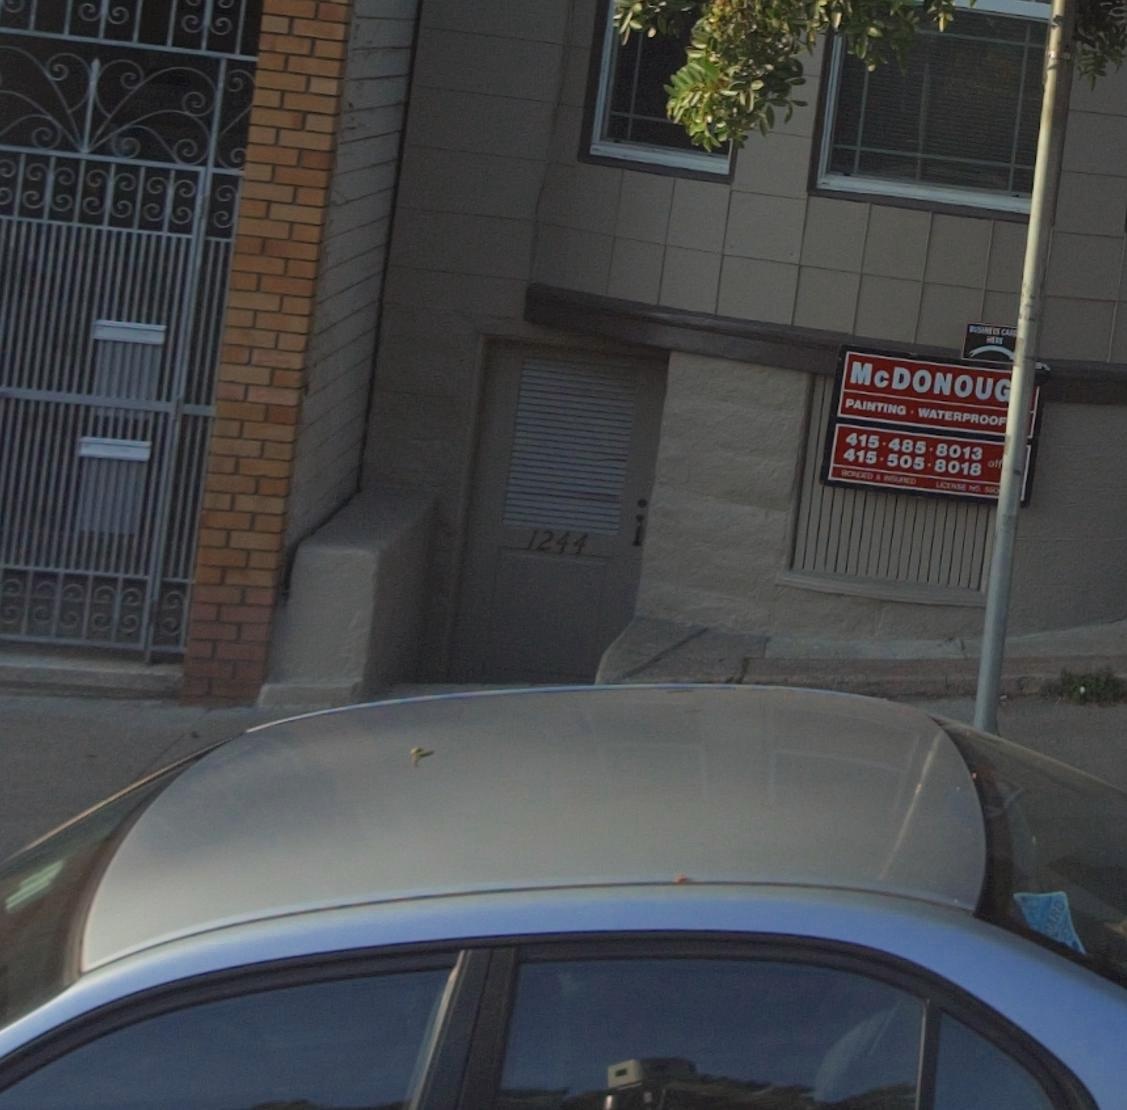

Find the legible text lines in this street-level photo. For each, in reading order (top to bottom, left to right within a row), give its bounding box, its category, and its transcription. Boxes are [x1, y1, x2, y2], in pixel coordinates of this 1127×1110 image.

[847, 358, 1013, 406] BusinessName: McDONOUG
[843, 395, 1010, 428] None: PAINTING * WATERPROOF
[839, 447, 983, 477] None: 415*505*8018
[843, 430, 985, 462] None: 415*485*8013
[986, 457, 1005, 471] None: off
[523, 527, 591, 559] StreetNumber: 1244